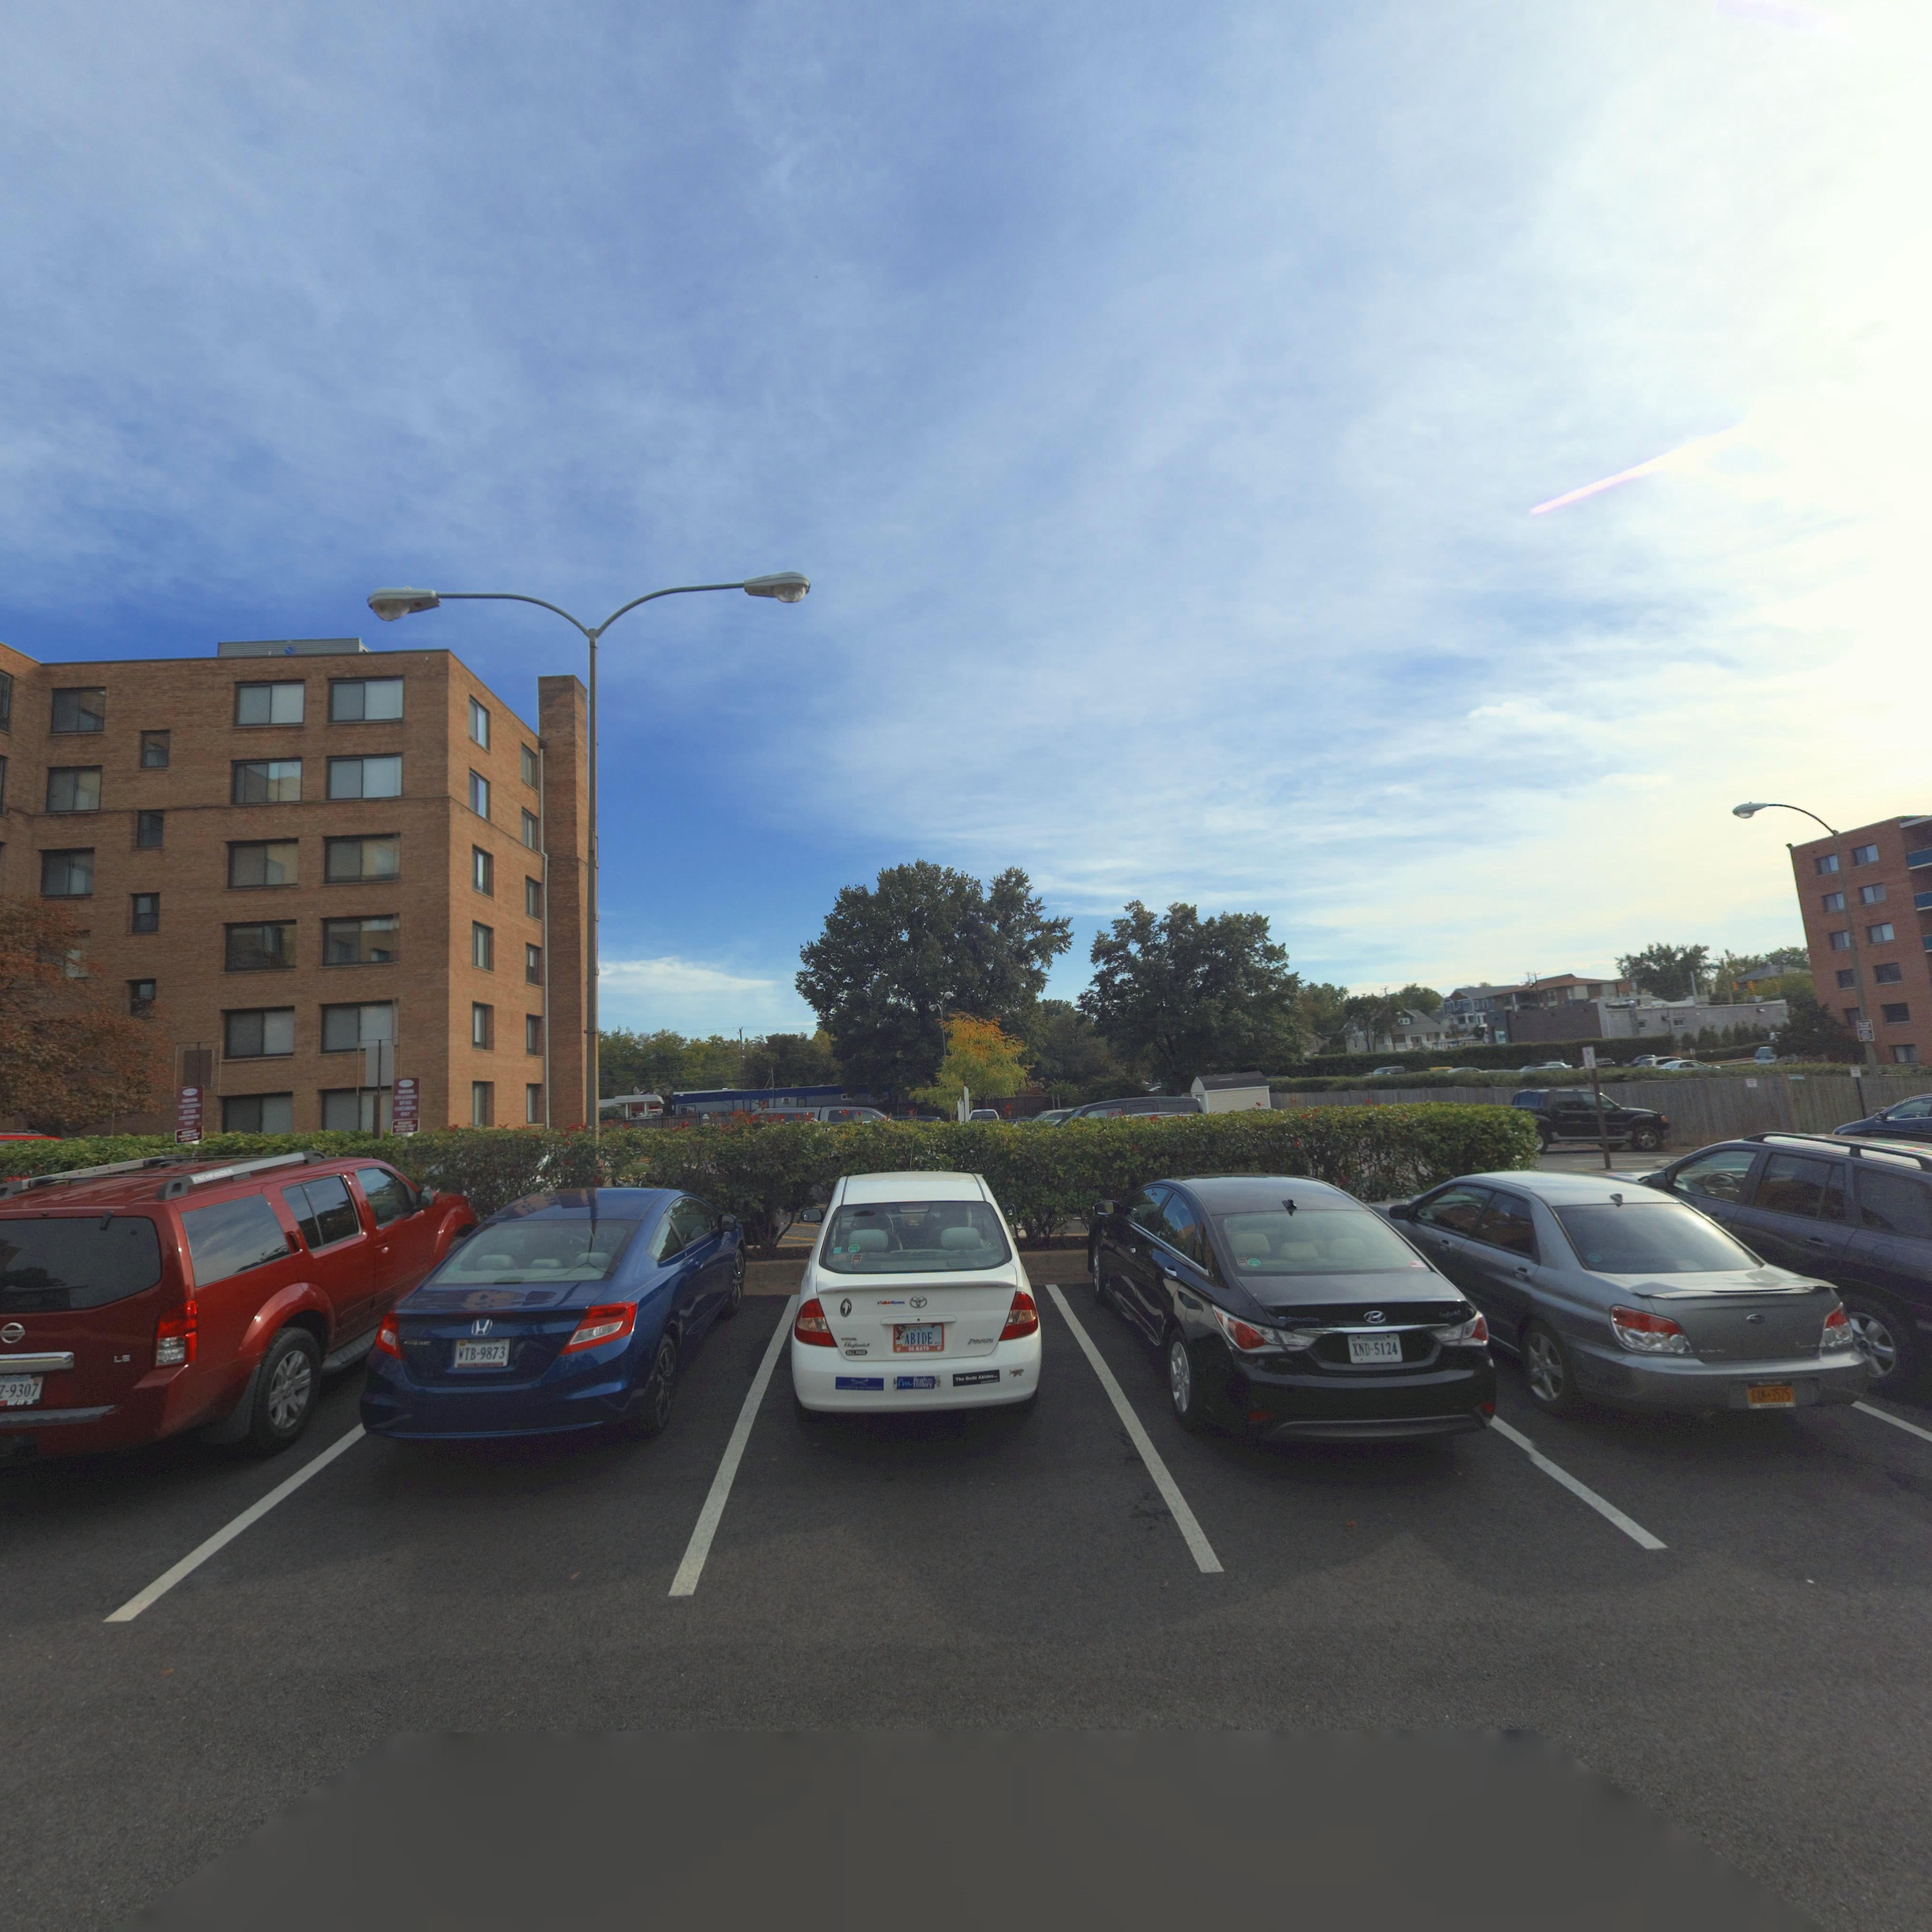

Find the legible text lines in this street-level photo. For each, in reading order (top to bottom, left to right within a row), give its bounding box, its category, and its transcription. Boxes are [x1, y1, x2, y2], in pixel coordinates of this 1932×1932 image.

[902, 1331, 934, 1346] None: ABIDE
[965, 1337, 995, 1346] None: PRIUS
[112, 1352, 132, 1365] None: LE
[456, 1344, 507, 1362] None: WTB-9873
[915, 1345, 927, 1352] None: NAT
[1352, 1341, 1400, 1357] None: XND-5124
[5, 1381, 42, 1398] None: 9307
[897, 1376, 905, 1388] None: P
[913, 1380, 935, 1389] None: Hillary
[1769, 1385, 1793, 1404] None: 35*5
[6, 1396, 36, 1407] None: wn's